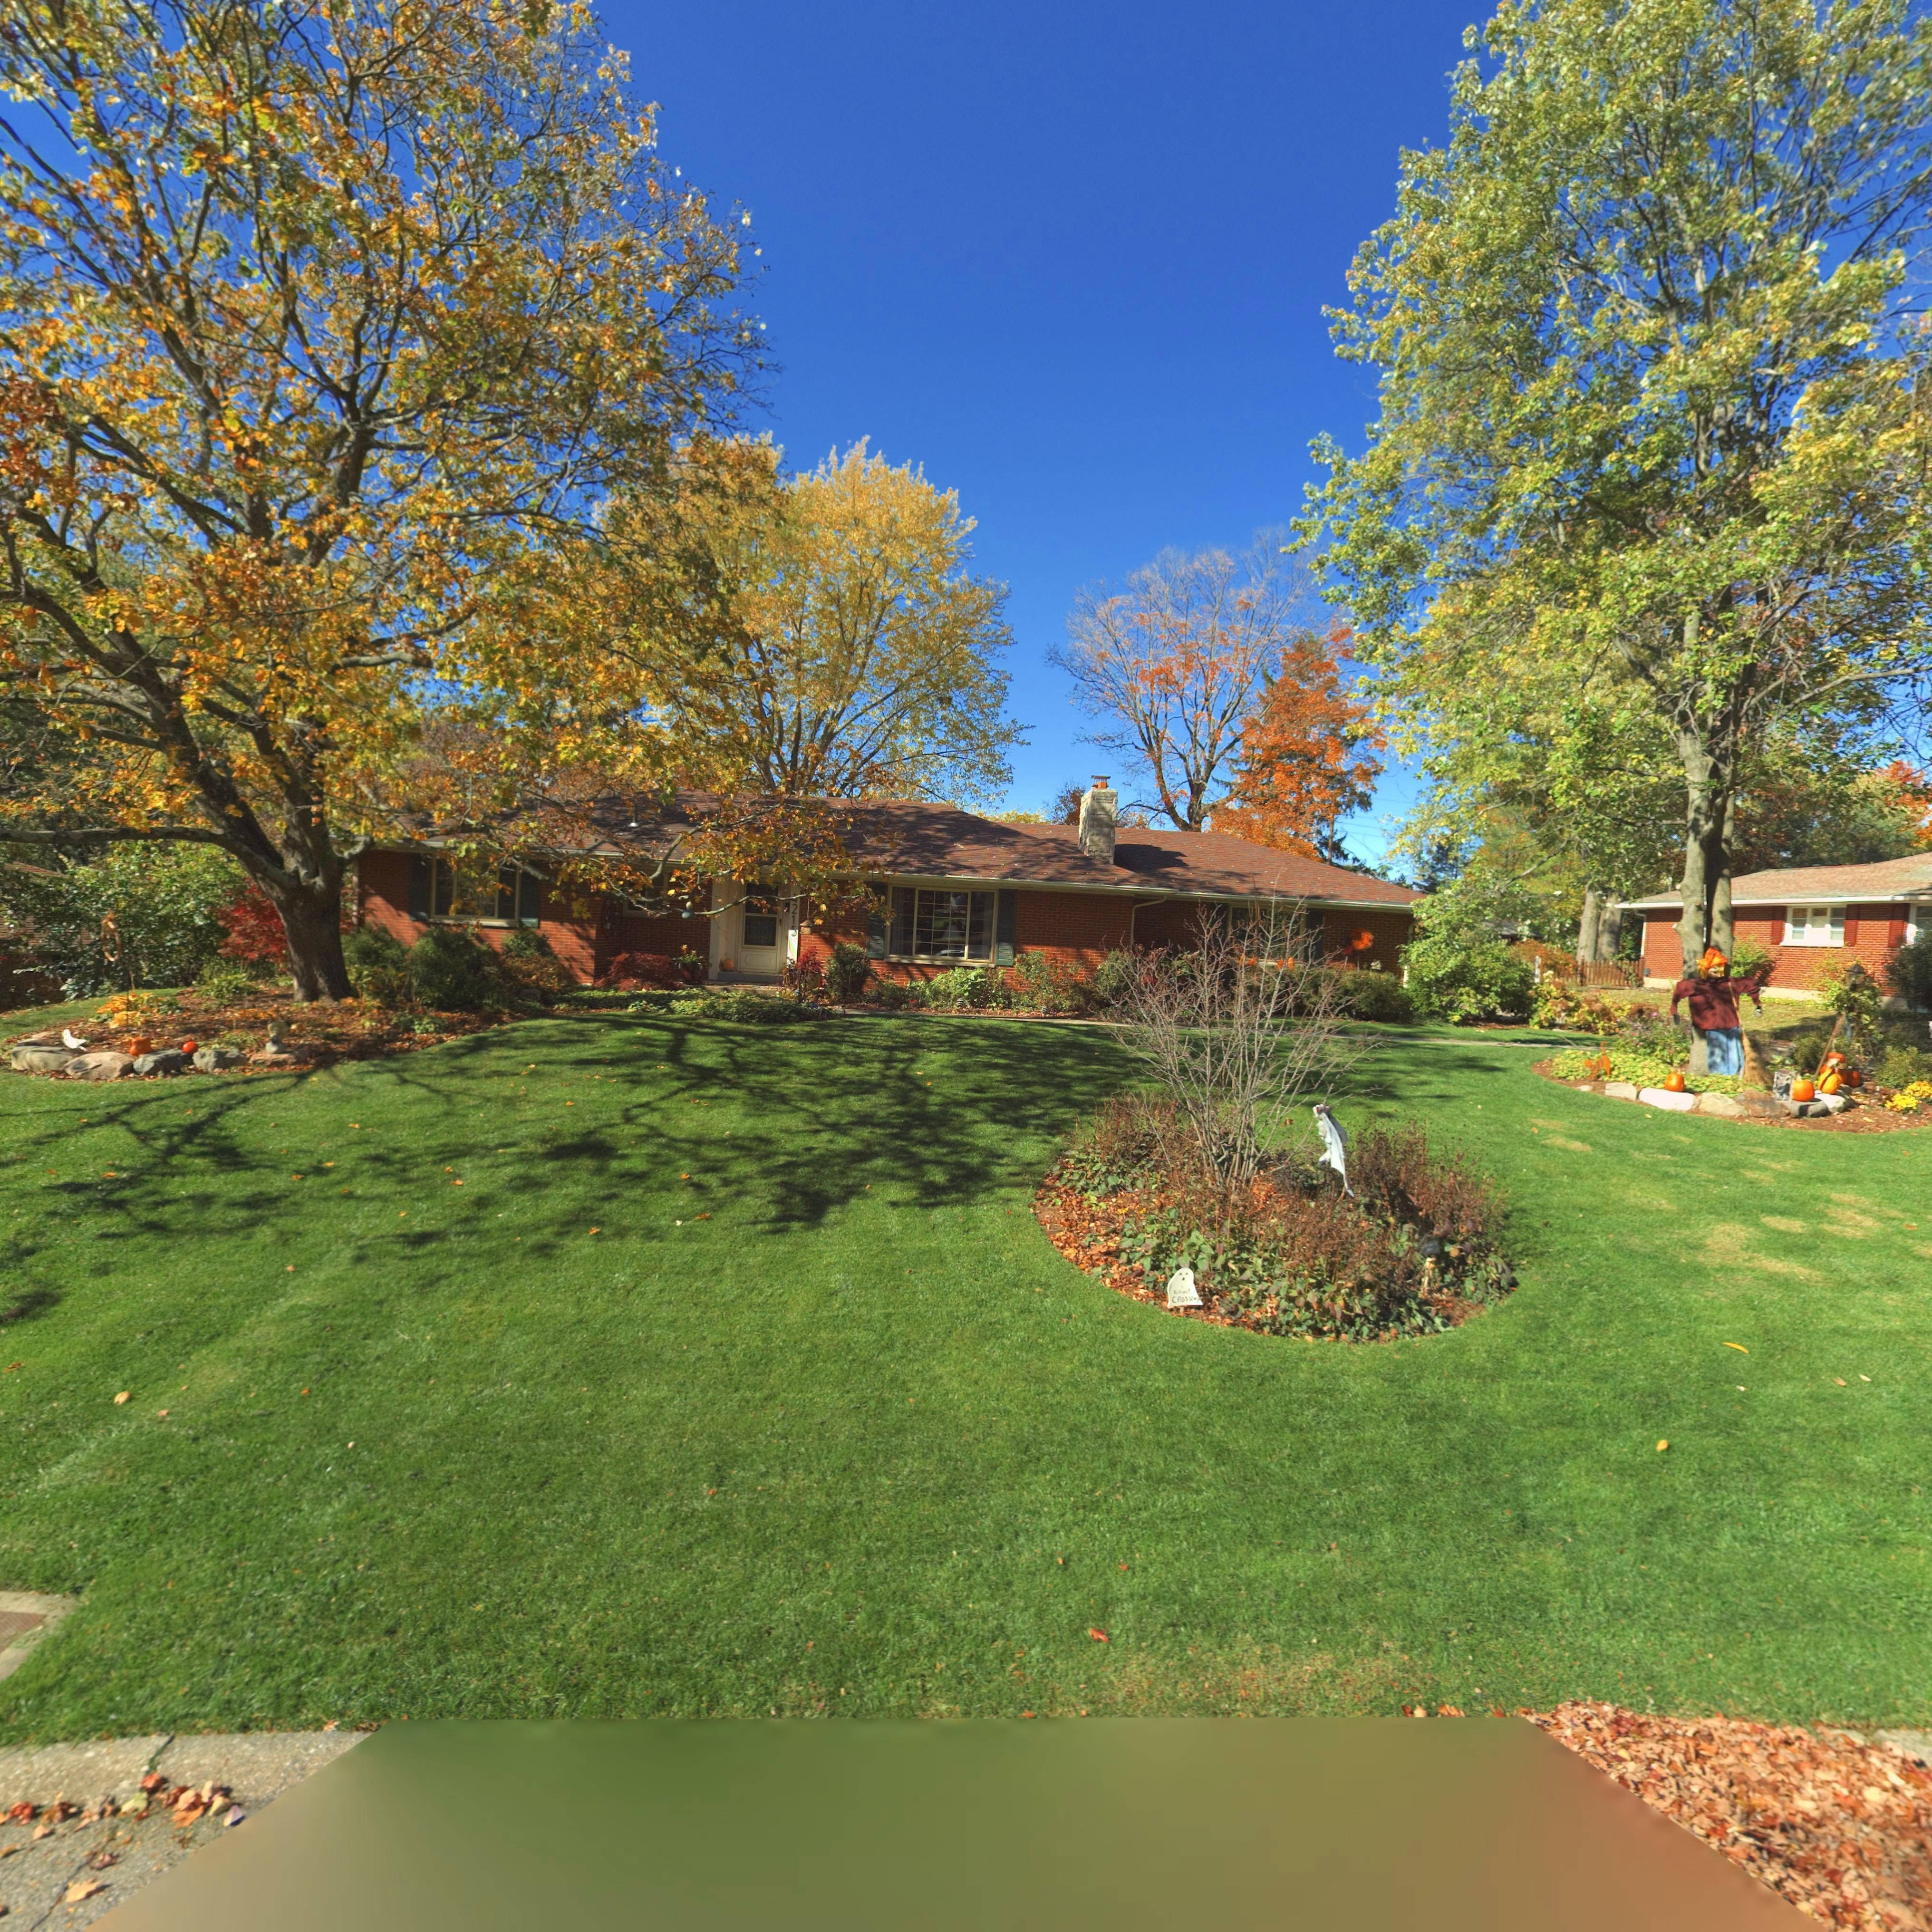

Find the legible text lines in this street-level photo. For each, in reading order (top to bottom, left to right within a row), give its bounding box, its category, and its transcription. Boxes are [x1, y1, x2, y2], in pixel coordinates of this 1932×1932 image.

[790, 892, 799, 937] StreetNumber: *215